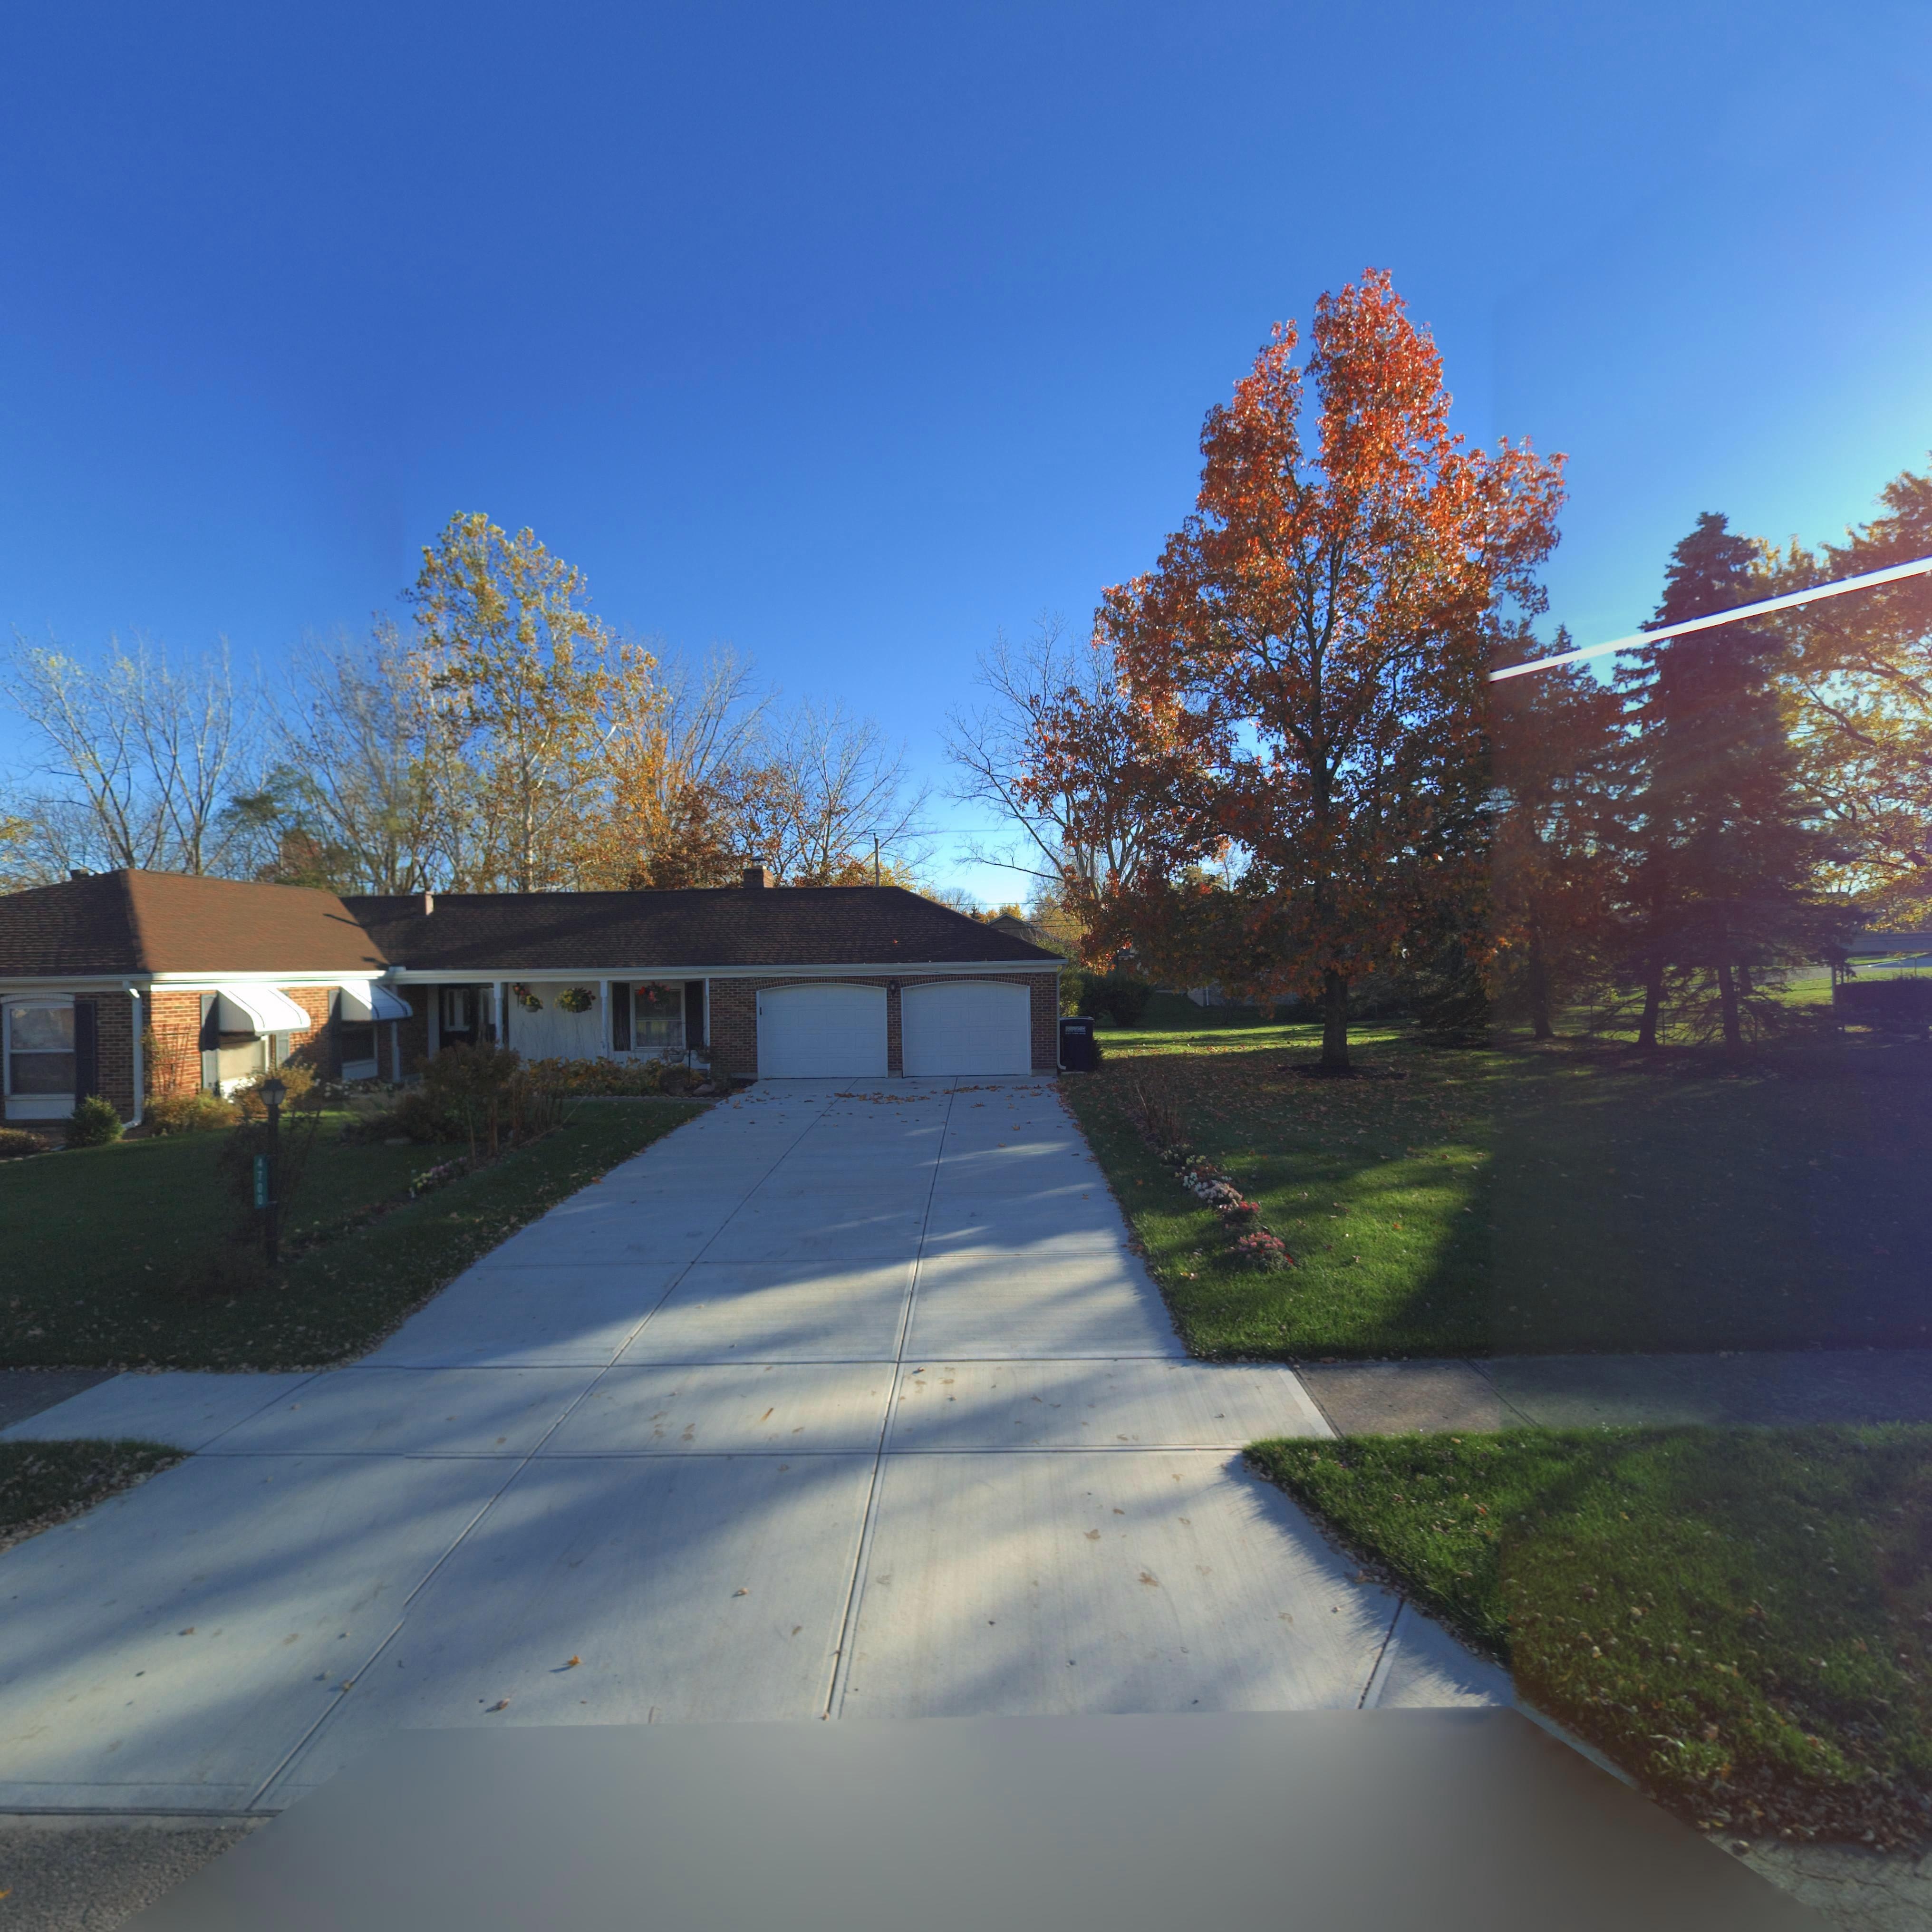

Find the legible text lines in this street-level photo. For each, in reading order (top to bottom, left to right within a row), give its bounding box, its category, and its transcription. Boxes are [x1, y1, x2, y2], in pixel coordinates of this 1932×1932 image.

[256, 1157, 265, 1206] StreetNumber: 4700